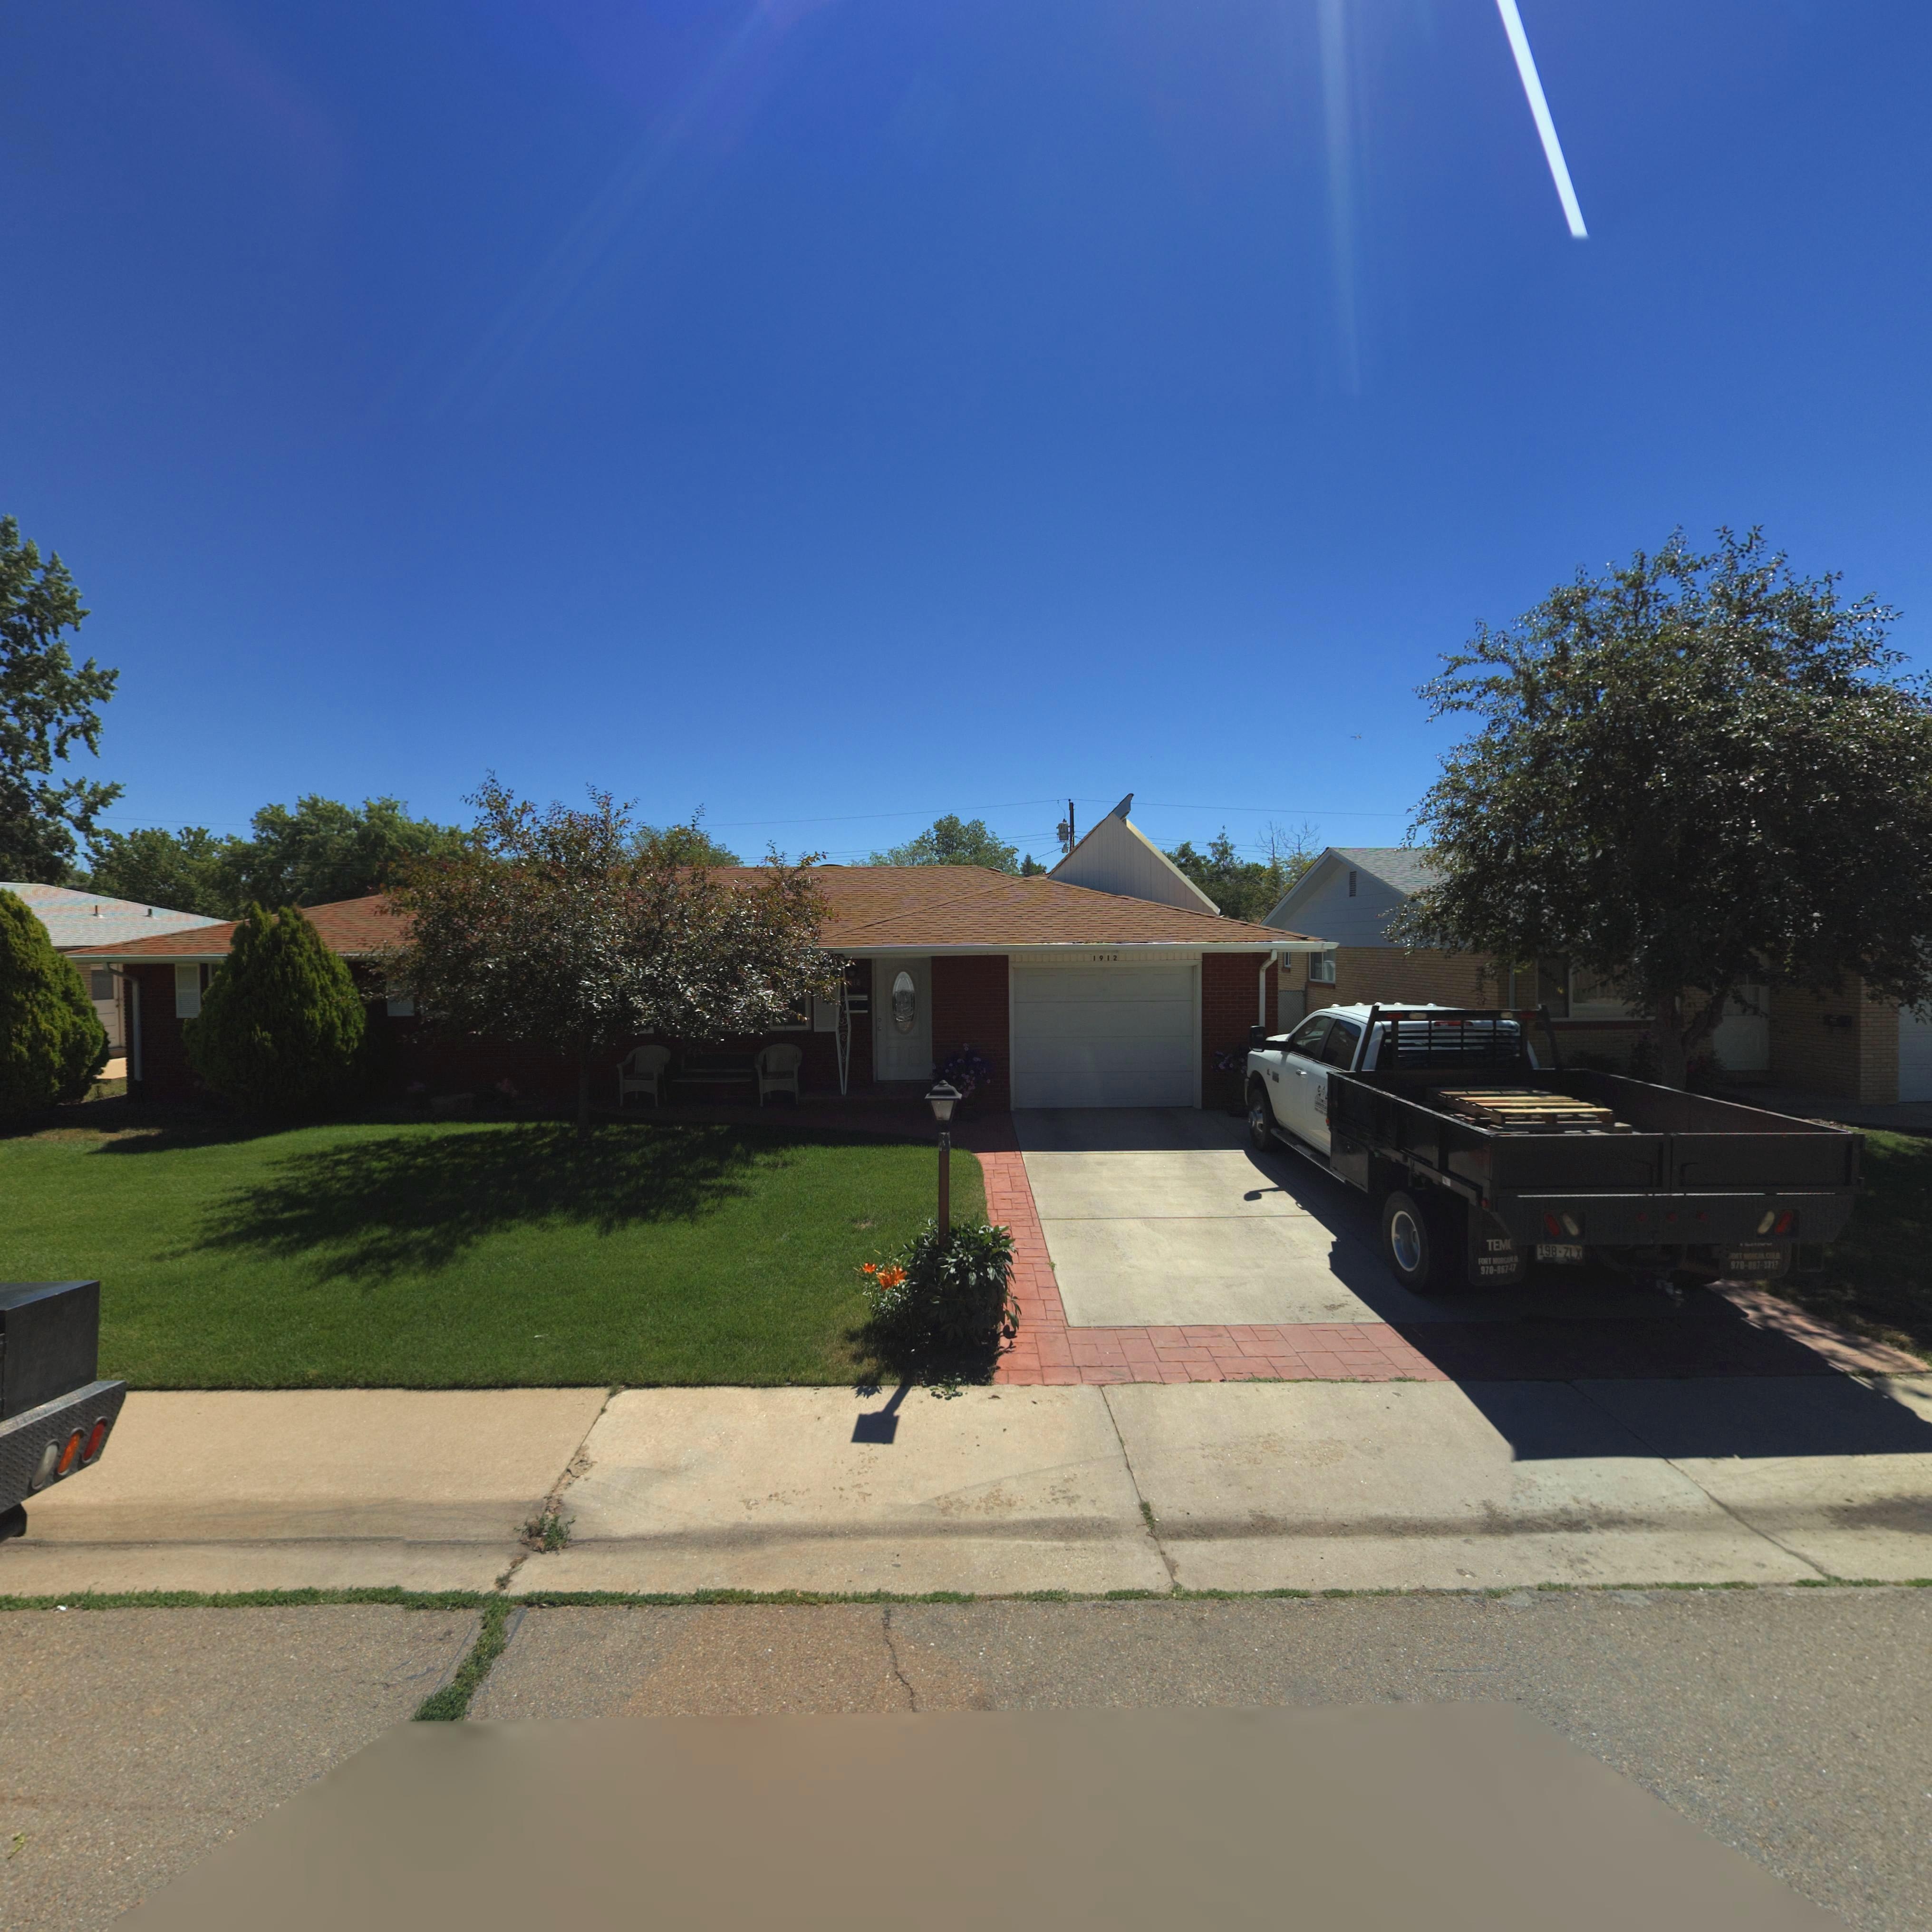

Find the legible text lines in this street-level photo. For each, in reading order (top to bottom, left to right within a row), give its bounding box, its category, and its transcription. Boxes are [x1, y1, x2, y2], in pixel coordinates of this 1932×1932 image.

[1093, 955, 1117, 961] StreetNumber: 1912
[852, 978, 861, 986] StreetNumber: 12